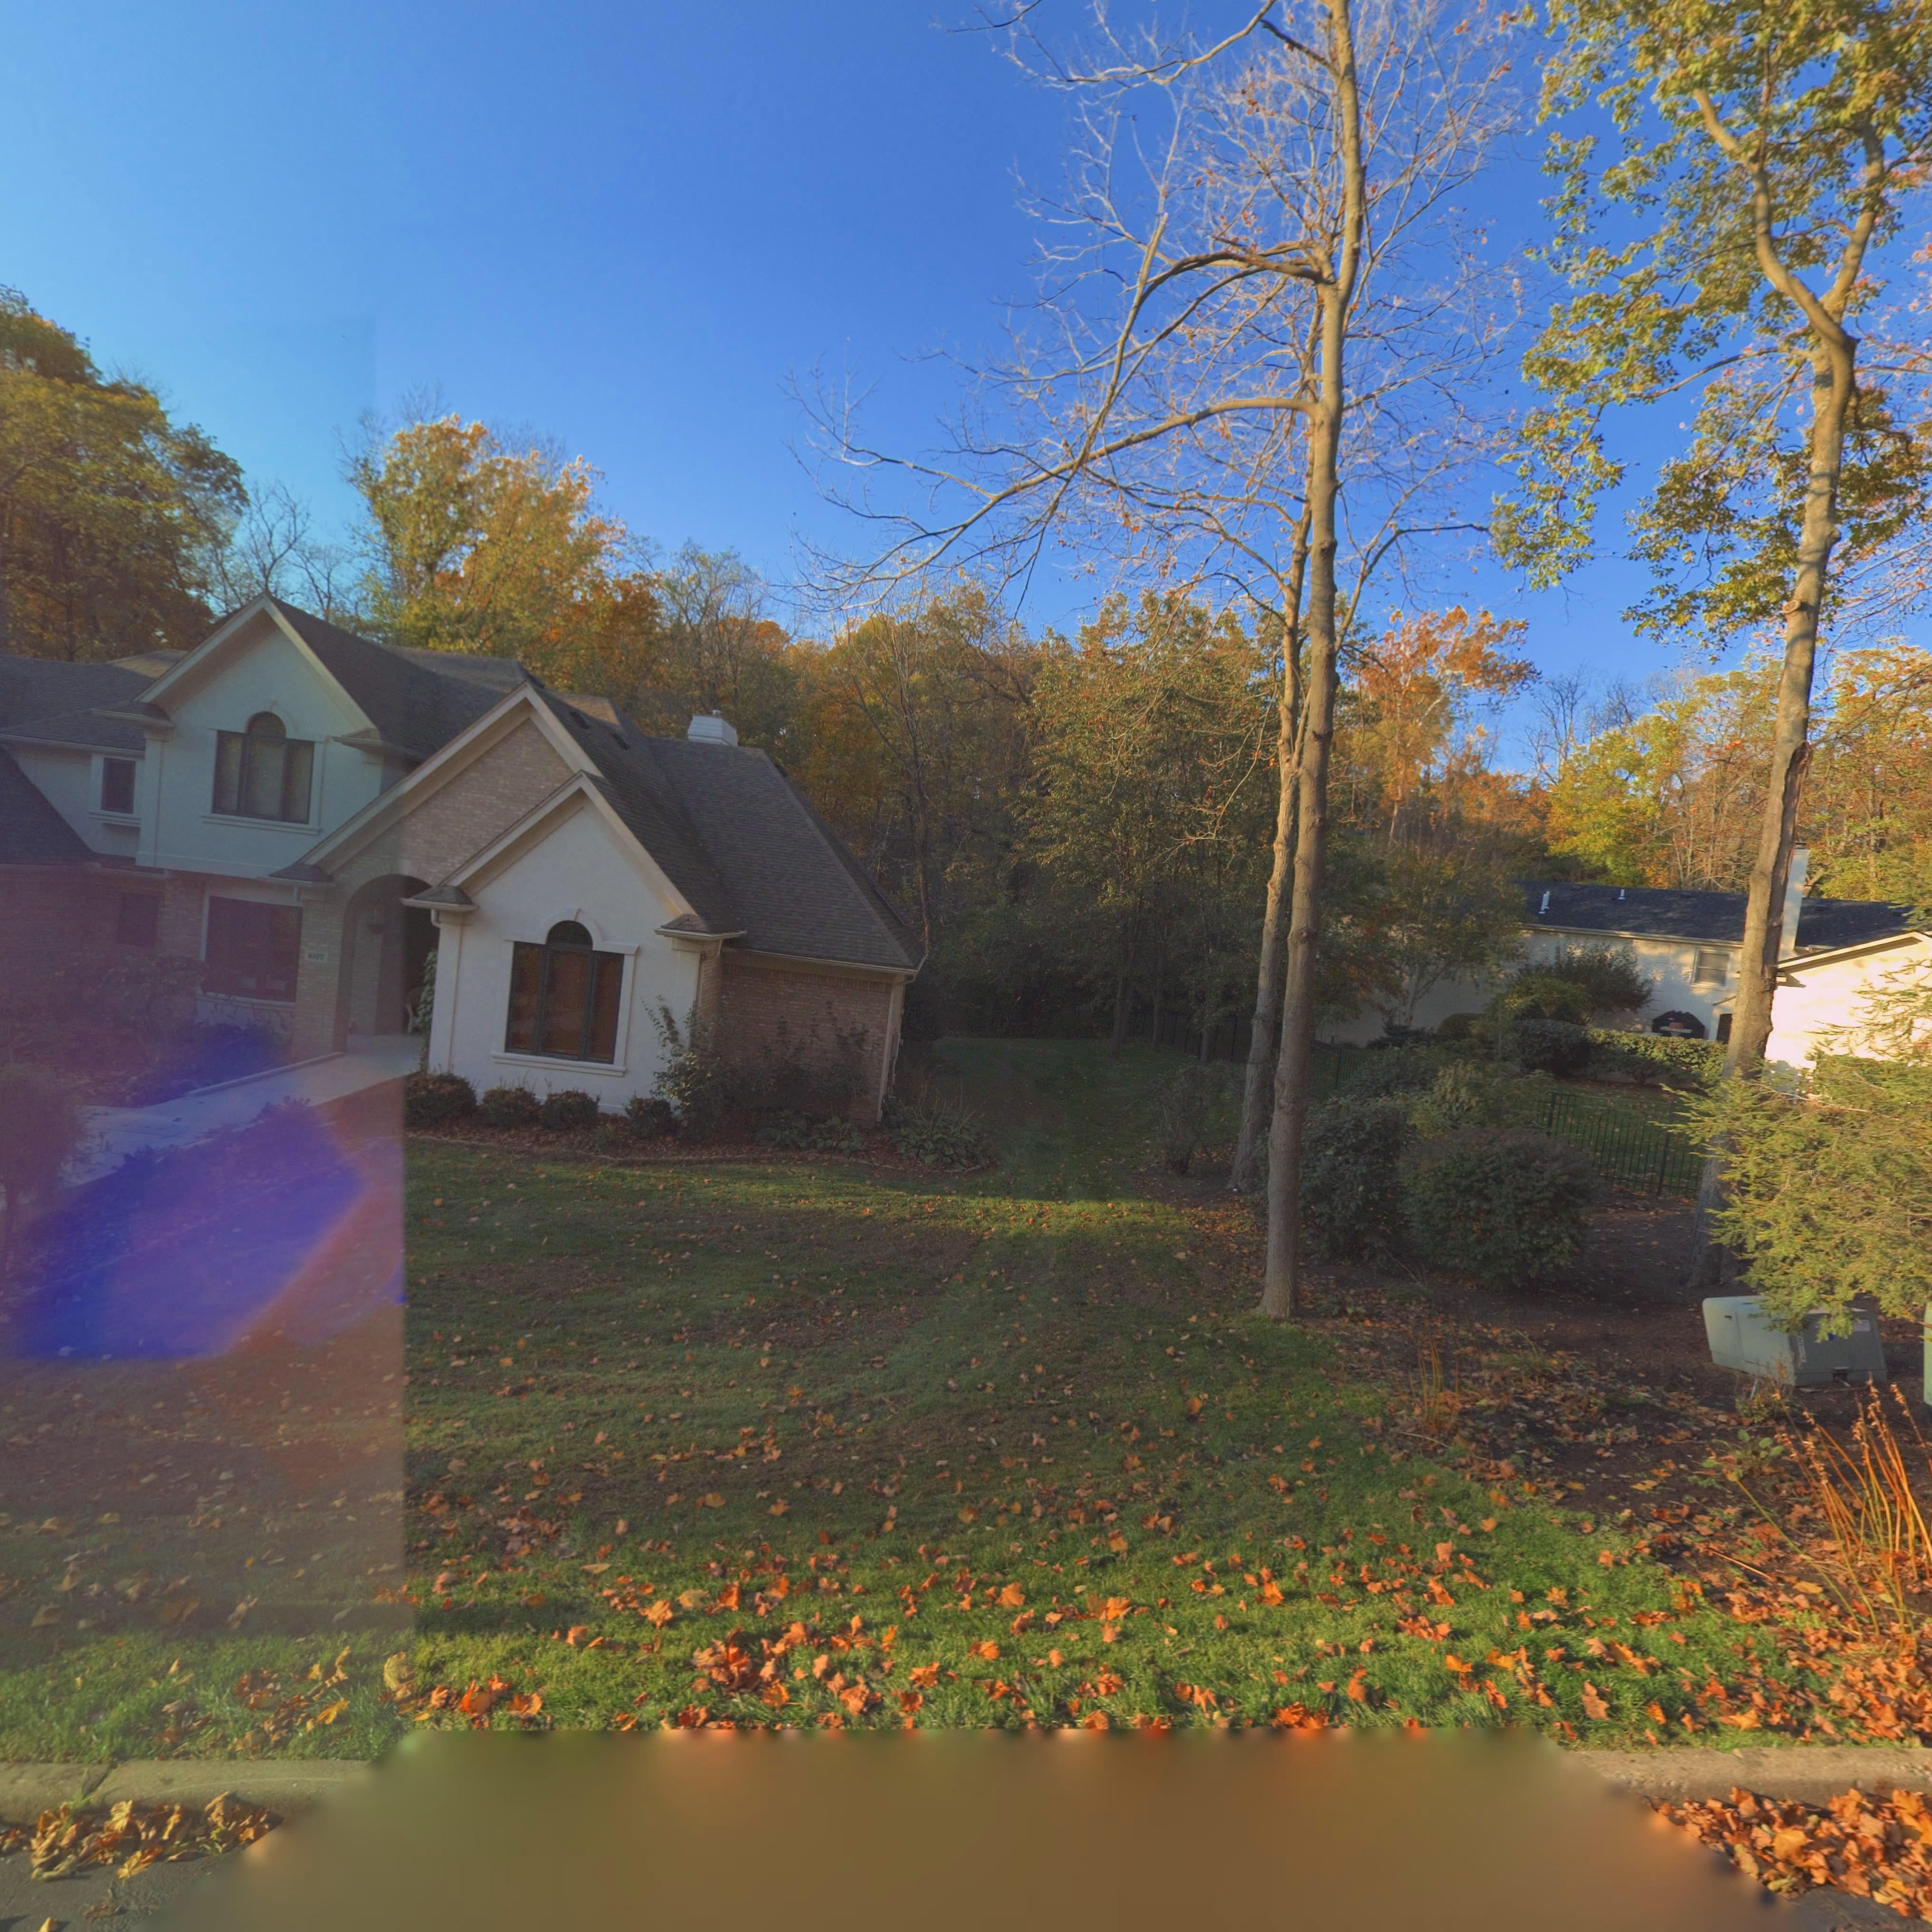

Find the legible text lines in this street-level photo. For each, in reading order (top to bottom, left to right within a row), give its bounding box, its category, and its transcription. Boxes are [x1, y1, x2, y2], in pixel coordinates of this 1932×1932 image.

[307, 952, 327, 961] StreetNumber: 607